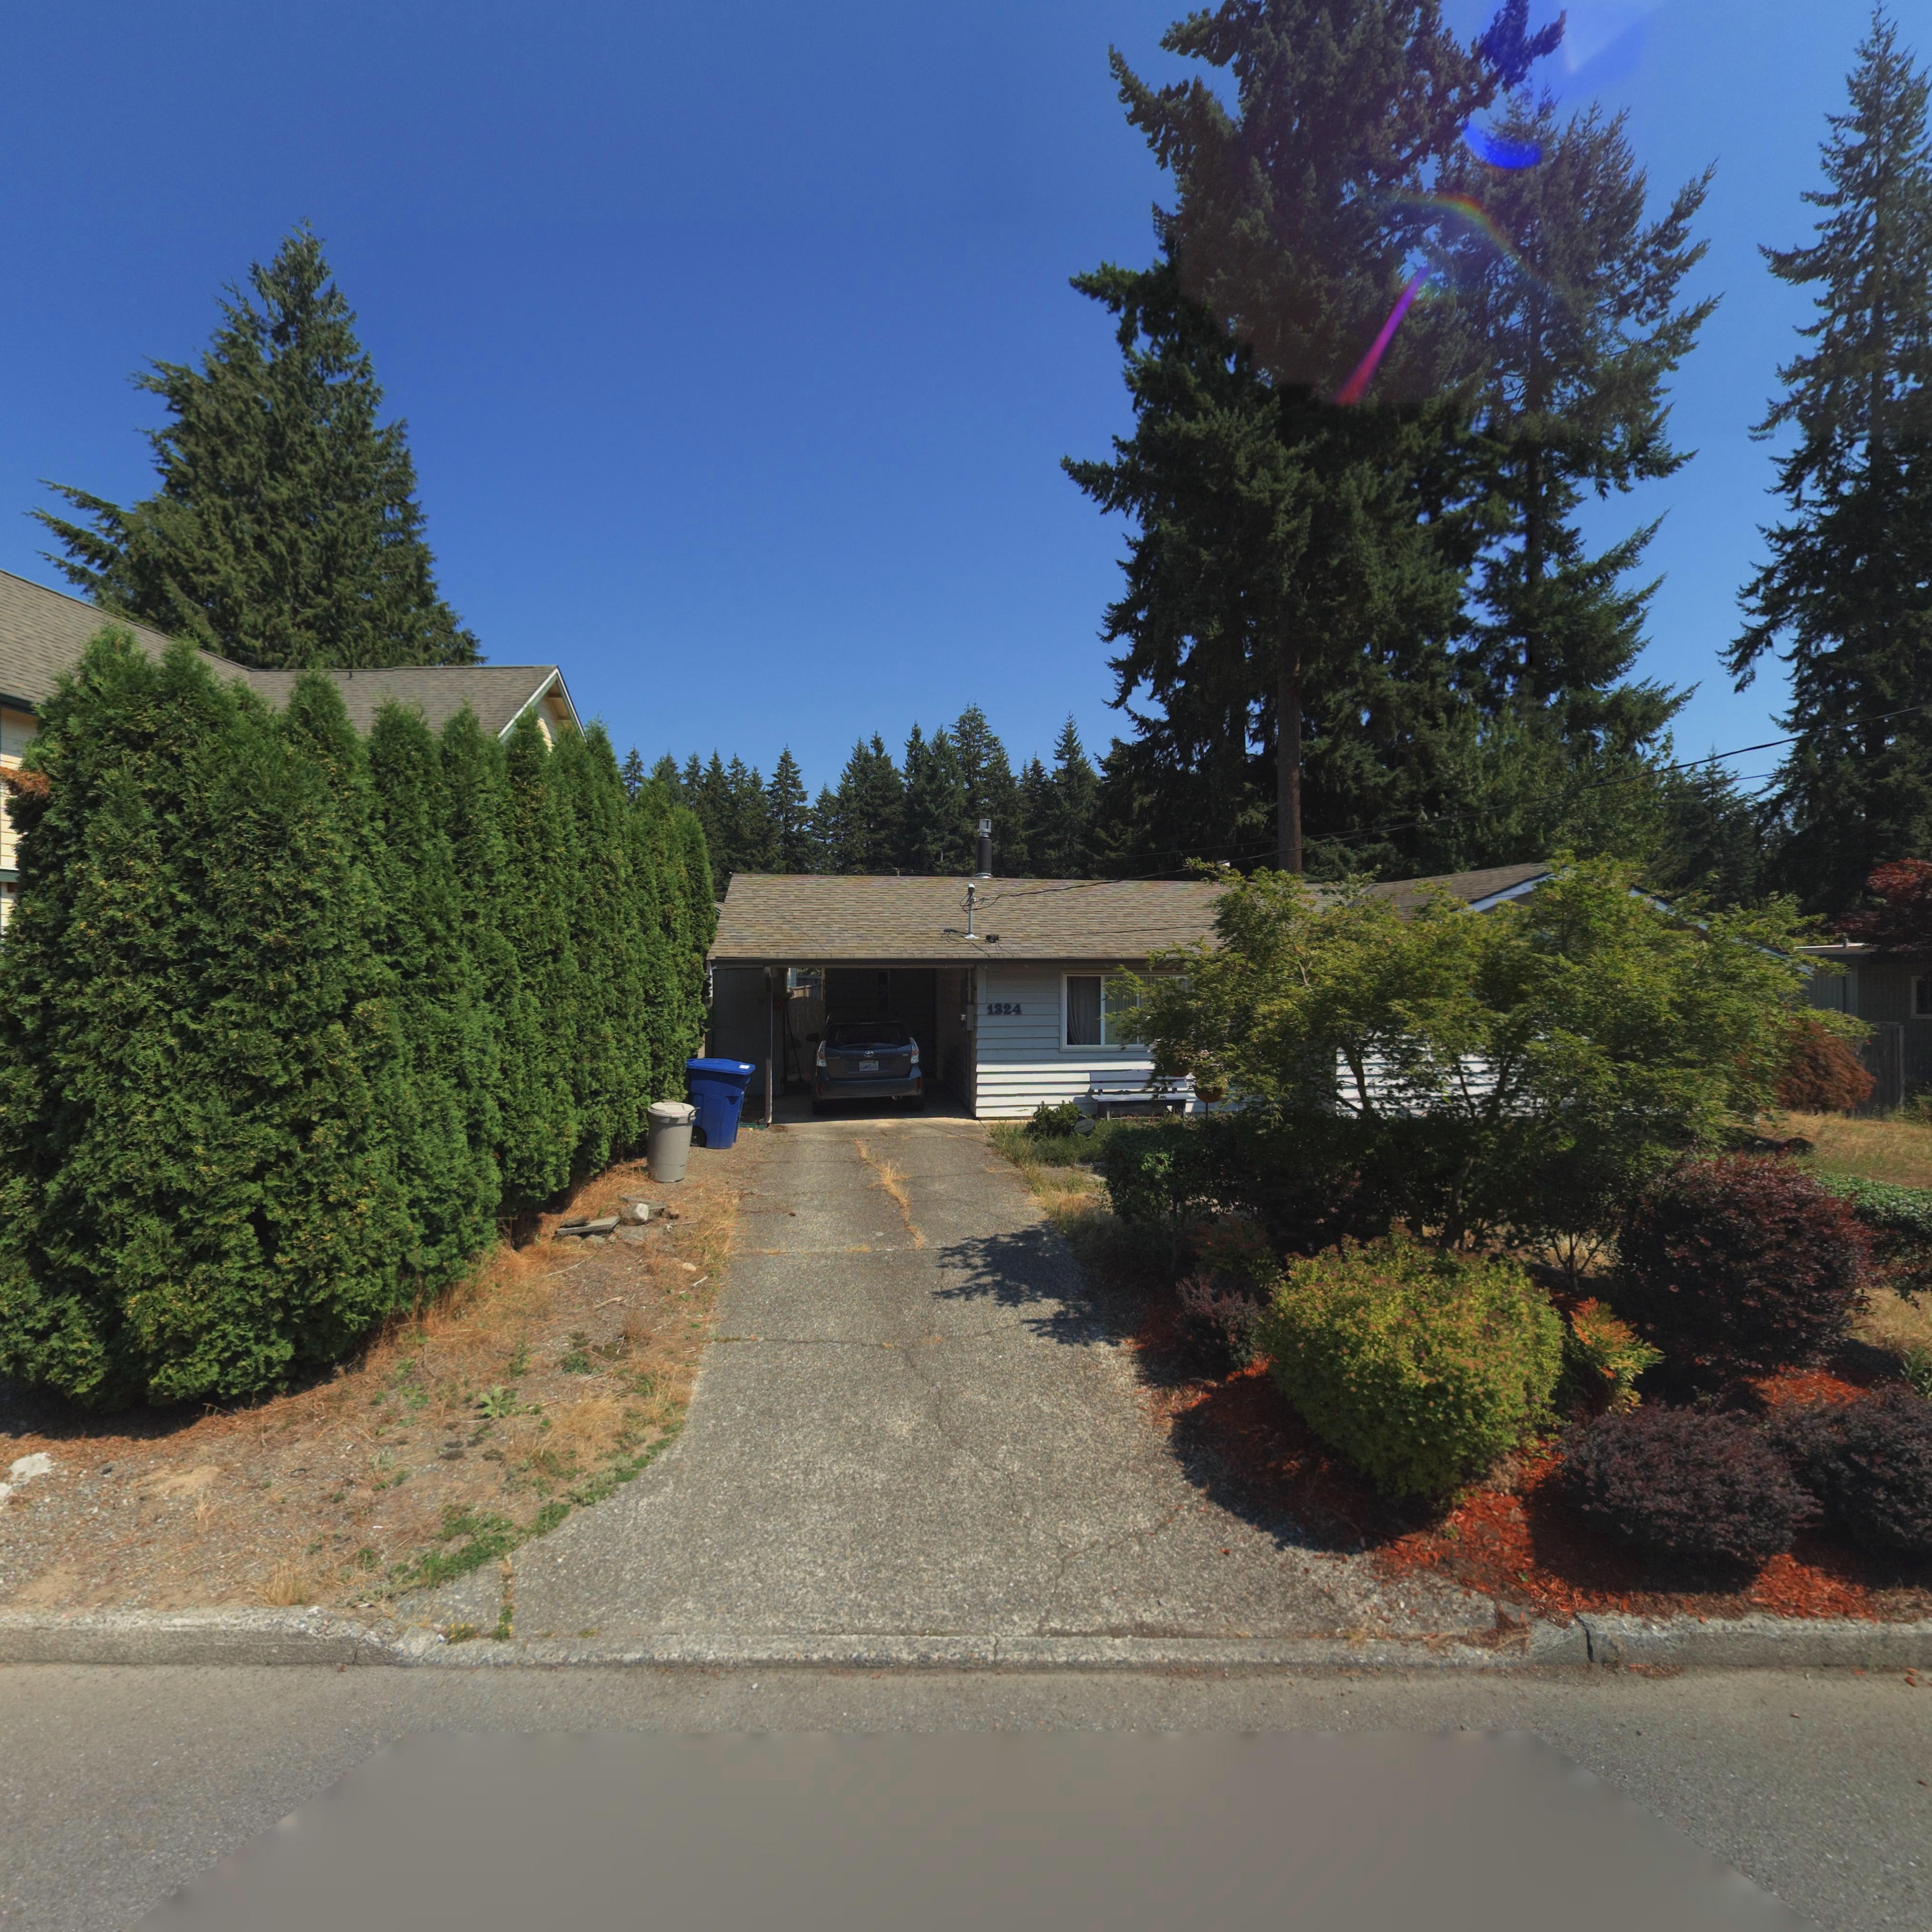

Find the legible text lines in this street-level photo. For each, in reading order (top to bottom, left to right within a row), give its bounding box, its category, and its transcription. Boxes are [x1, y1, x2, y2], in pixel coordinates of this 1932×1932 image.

[986, 1003, 1023, 1015] StreetNumber: 1324